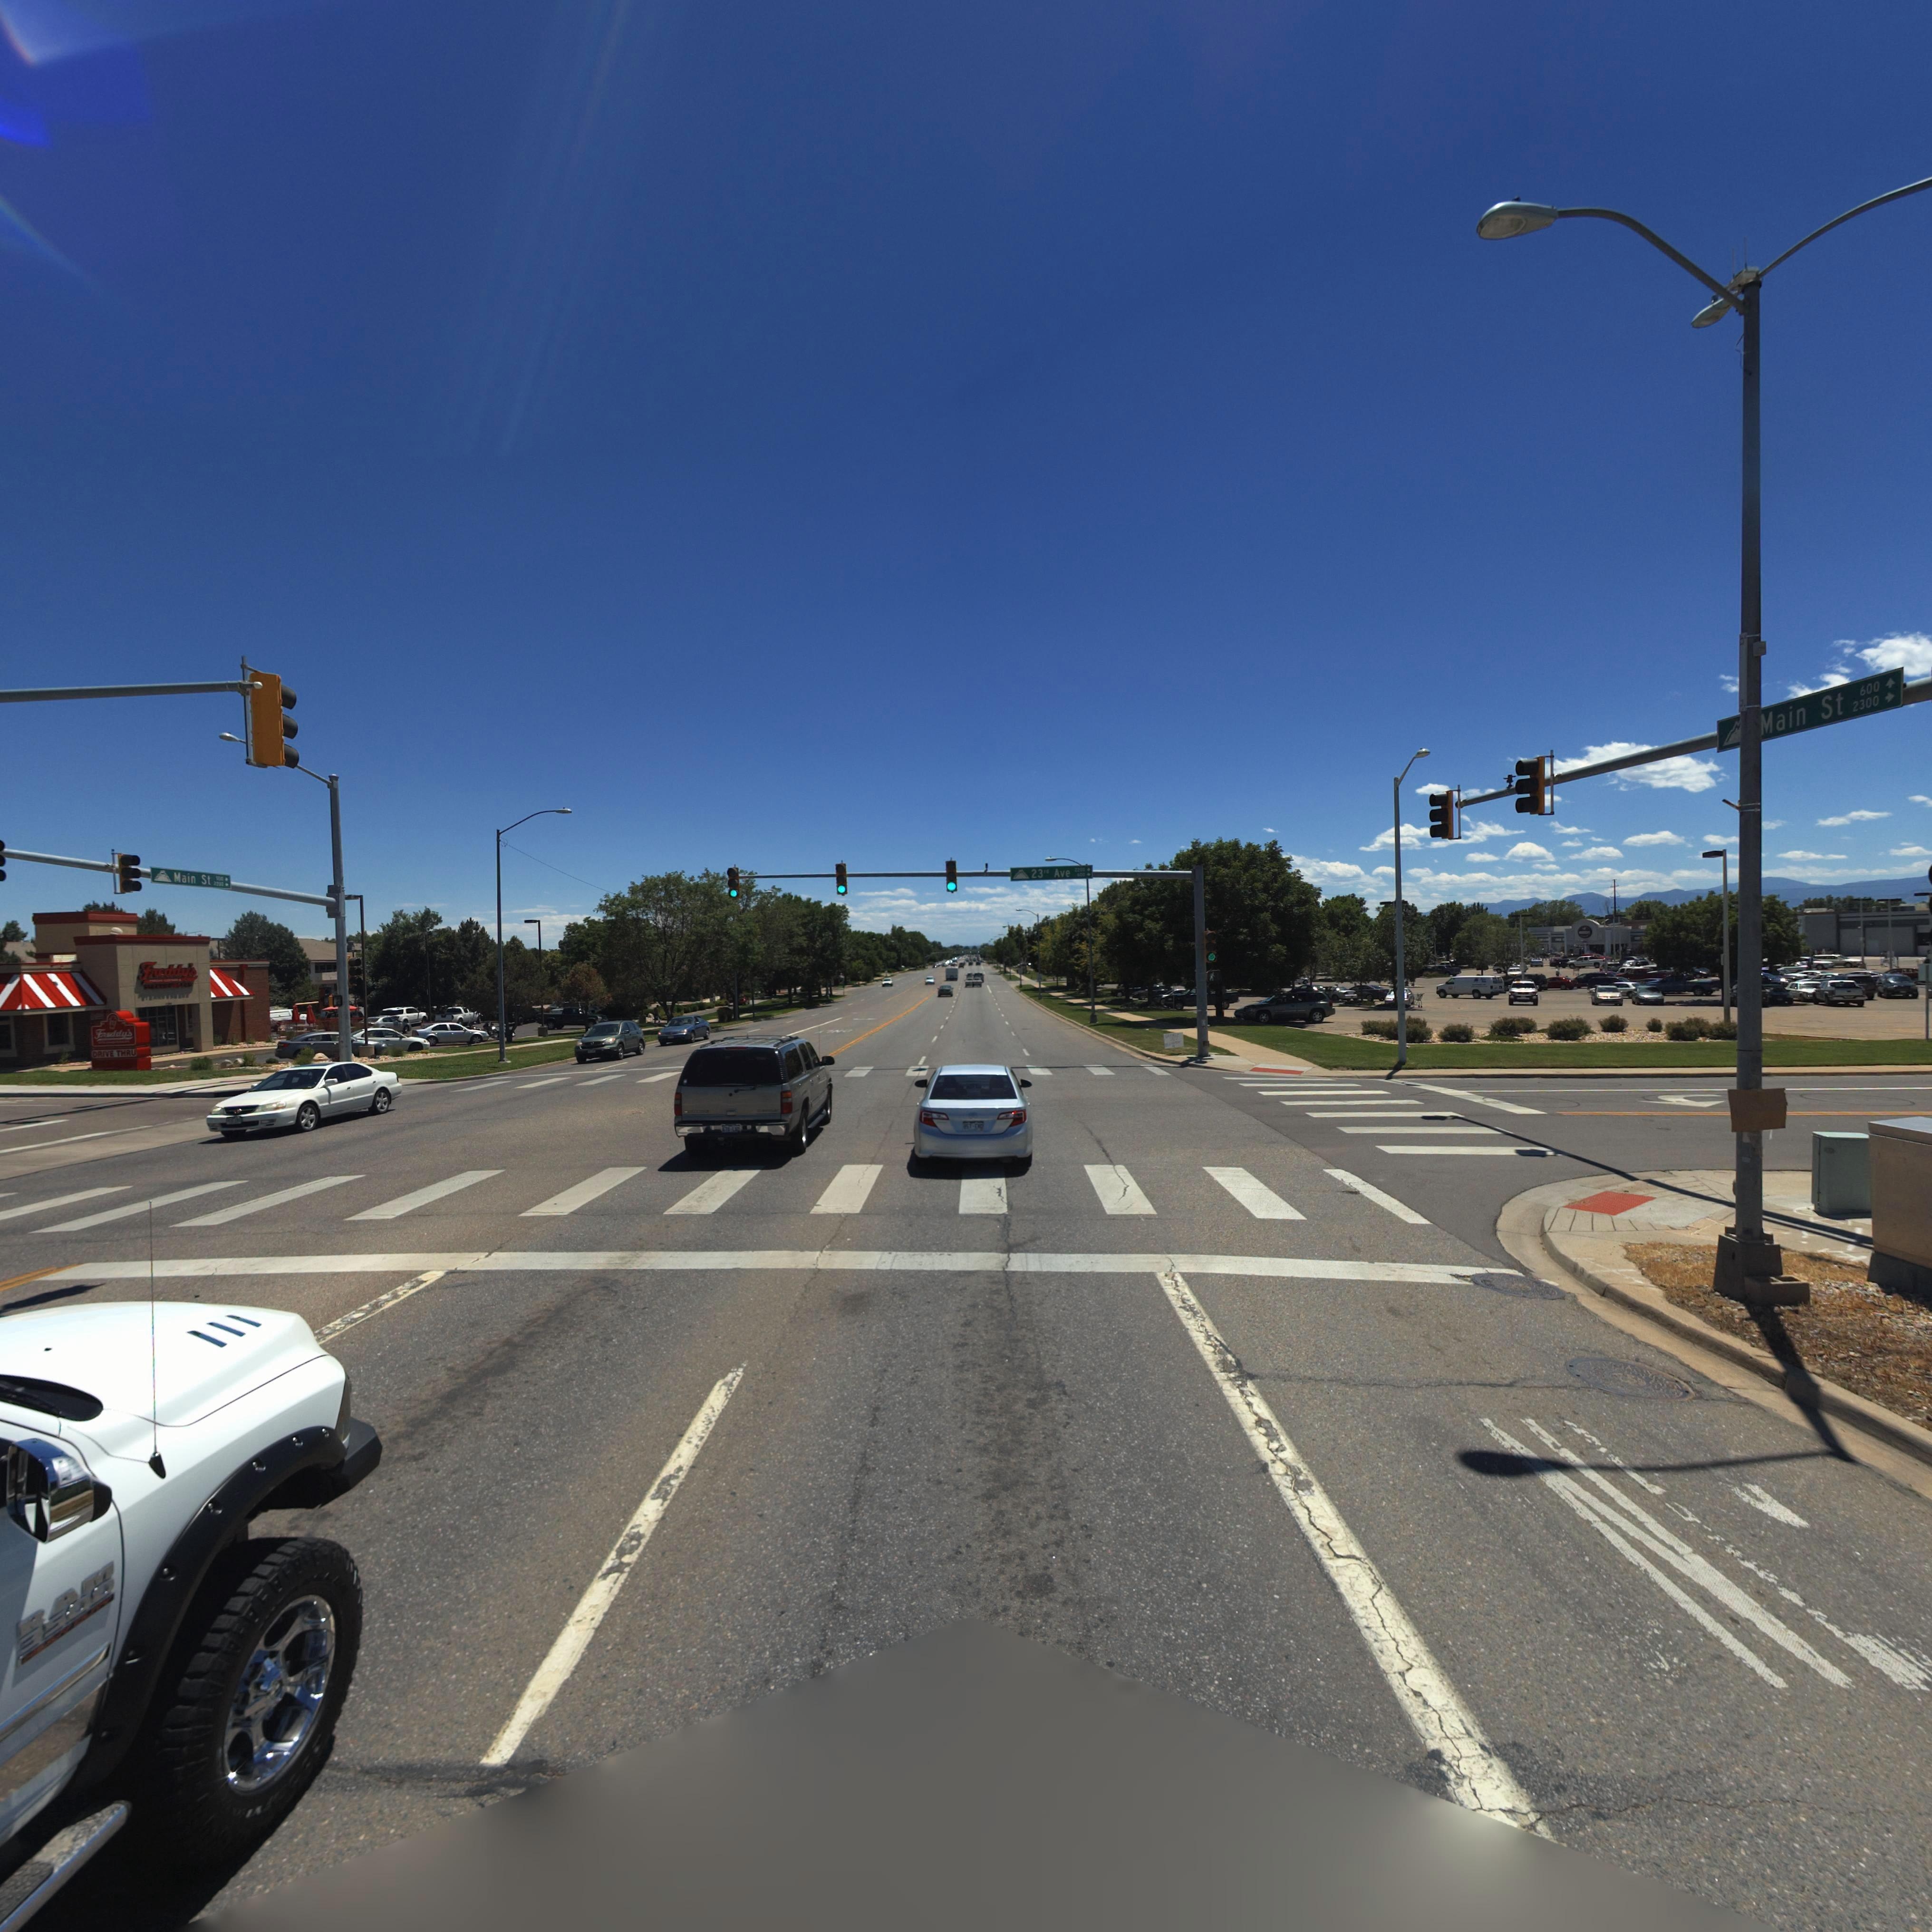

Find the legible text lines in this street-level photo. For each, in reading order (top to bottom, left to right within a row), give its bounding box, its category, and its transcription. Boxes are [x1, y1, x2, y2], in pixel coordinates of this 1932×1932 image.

[1859, 680, 1879, 696] StreetNumberRange: 600
[1853, 692, 1895, 712] StreetNumberRange: 2300->
[1760, 692, 1843, 735] StreetName: Main St
[174, 872, 211, 885] StreetName: Main St
[215, 876, 223, 880] StreetNumberRange: **0
[213, 881, 229, 886] StreetNumberRange: *2***
[1031, 868, 1070, 878] StreetName: 23** Ave
[1074, 867, 1085, 871] StreetNumberRange: 2200
[1077, 872, 1091, 877] StreetNumberRange: 600*
[138, 961, 197, 981] BusinessName: Freddy's
[94, 1028, 132, 1039] BusinessName: F**ddy*s